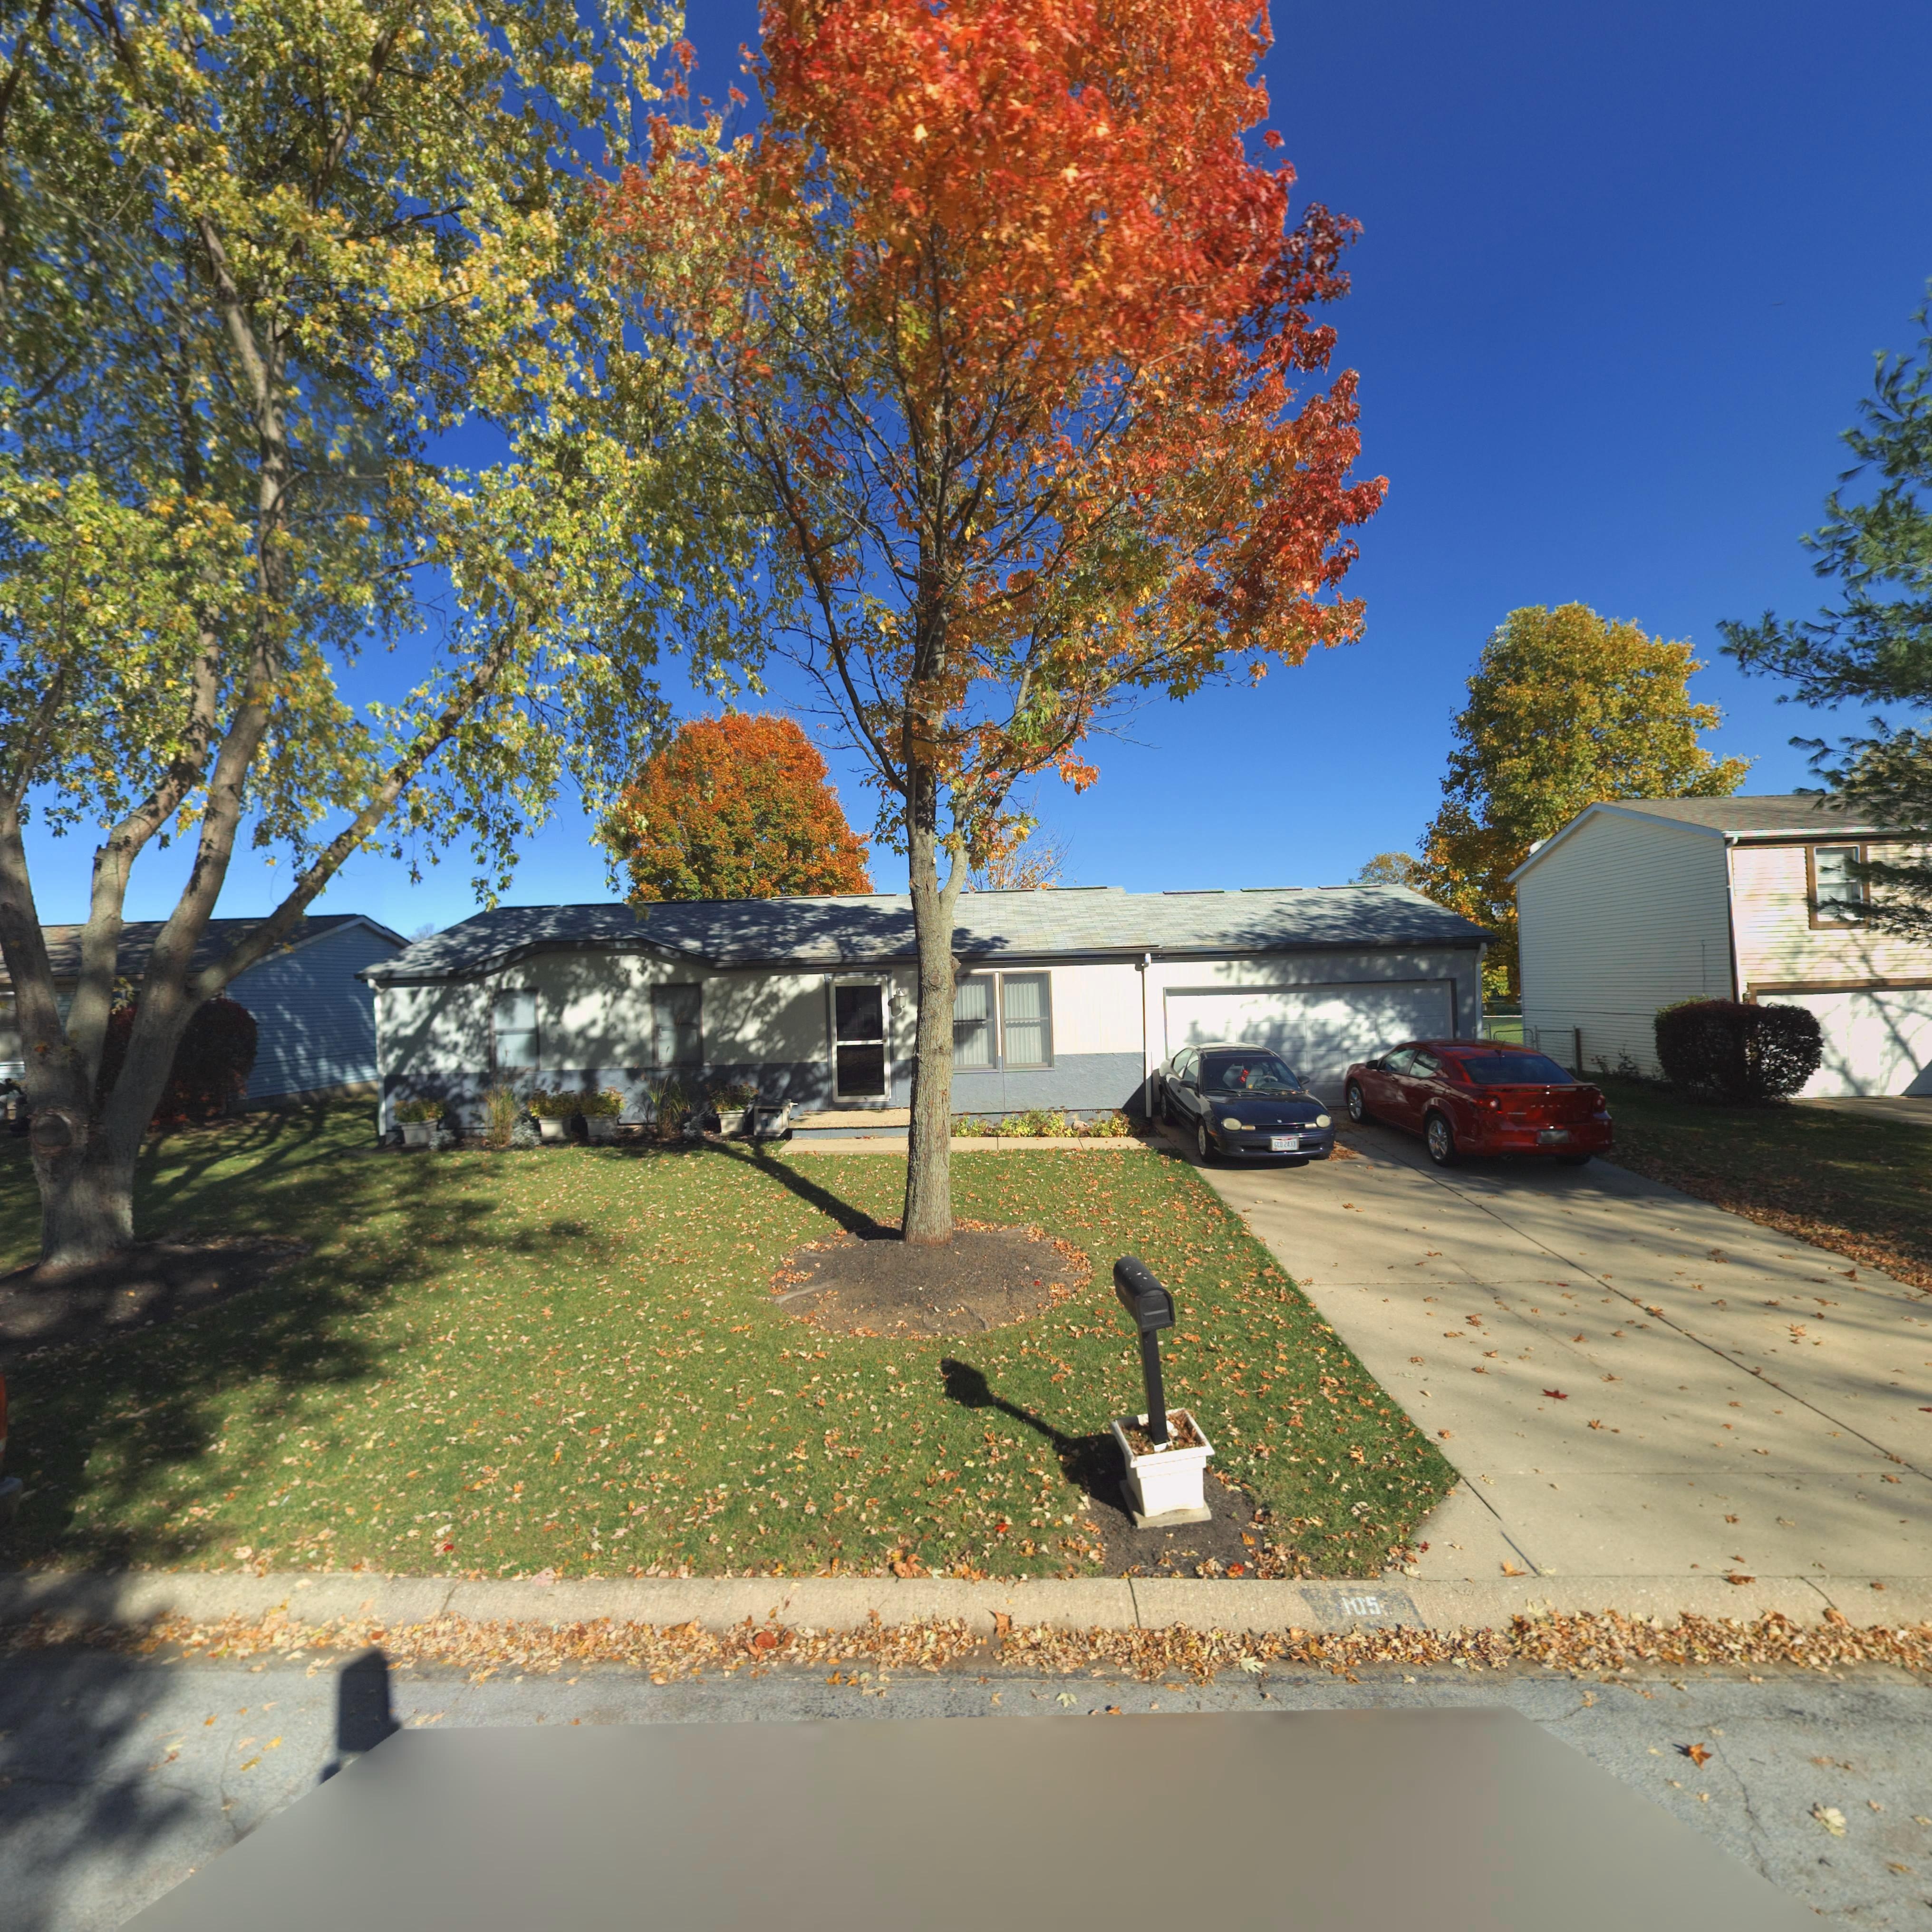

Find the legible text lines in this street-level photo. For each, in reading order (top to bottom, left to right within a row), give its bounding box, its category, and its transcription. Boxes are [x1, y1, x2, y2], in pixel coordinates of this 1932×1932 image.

[1337, 1595, 1385, 1617] StreetNumber: 105